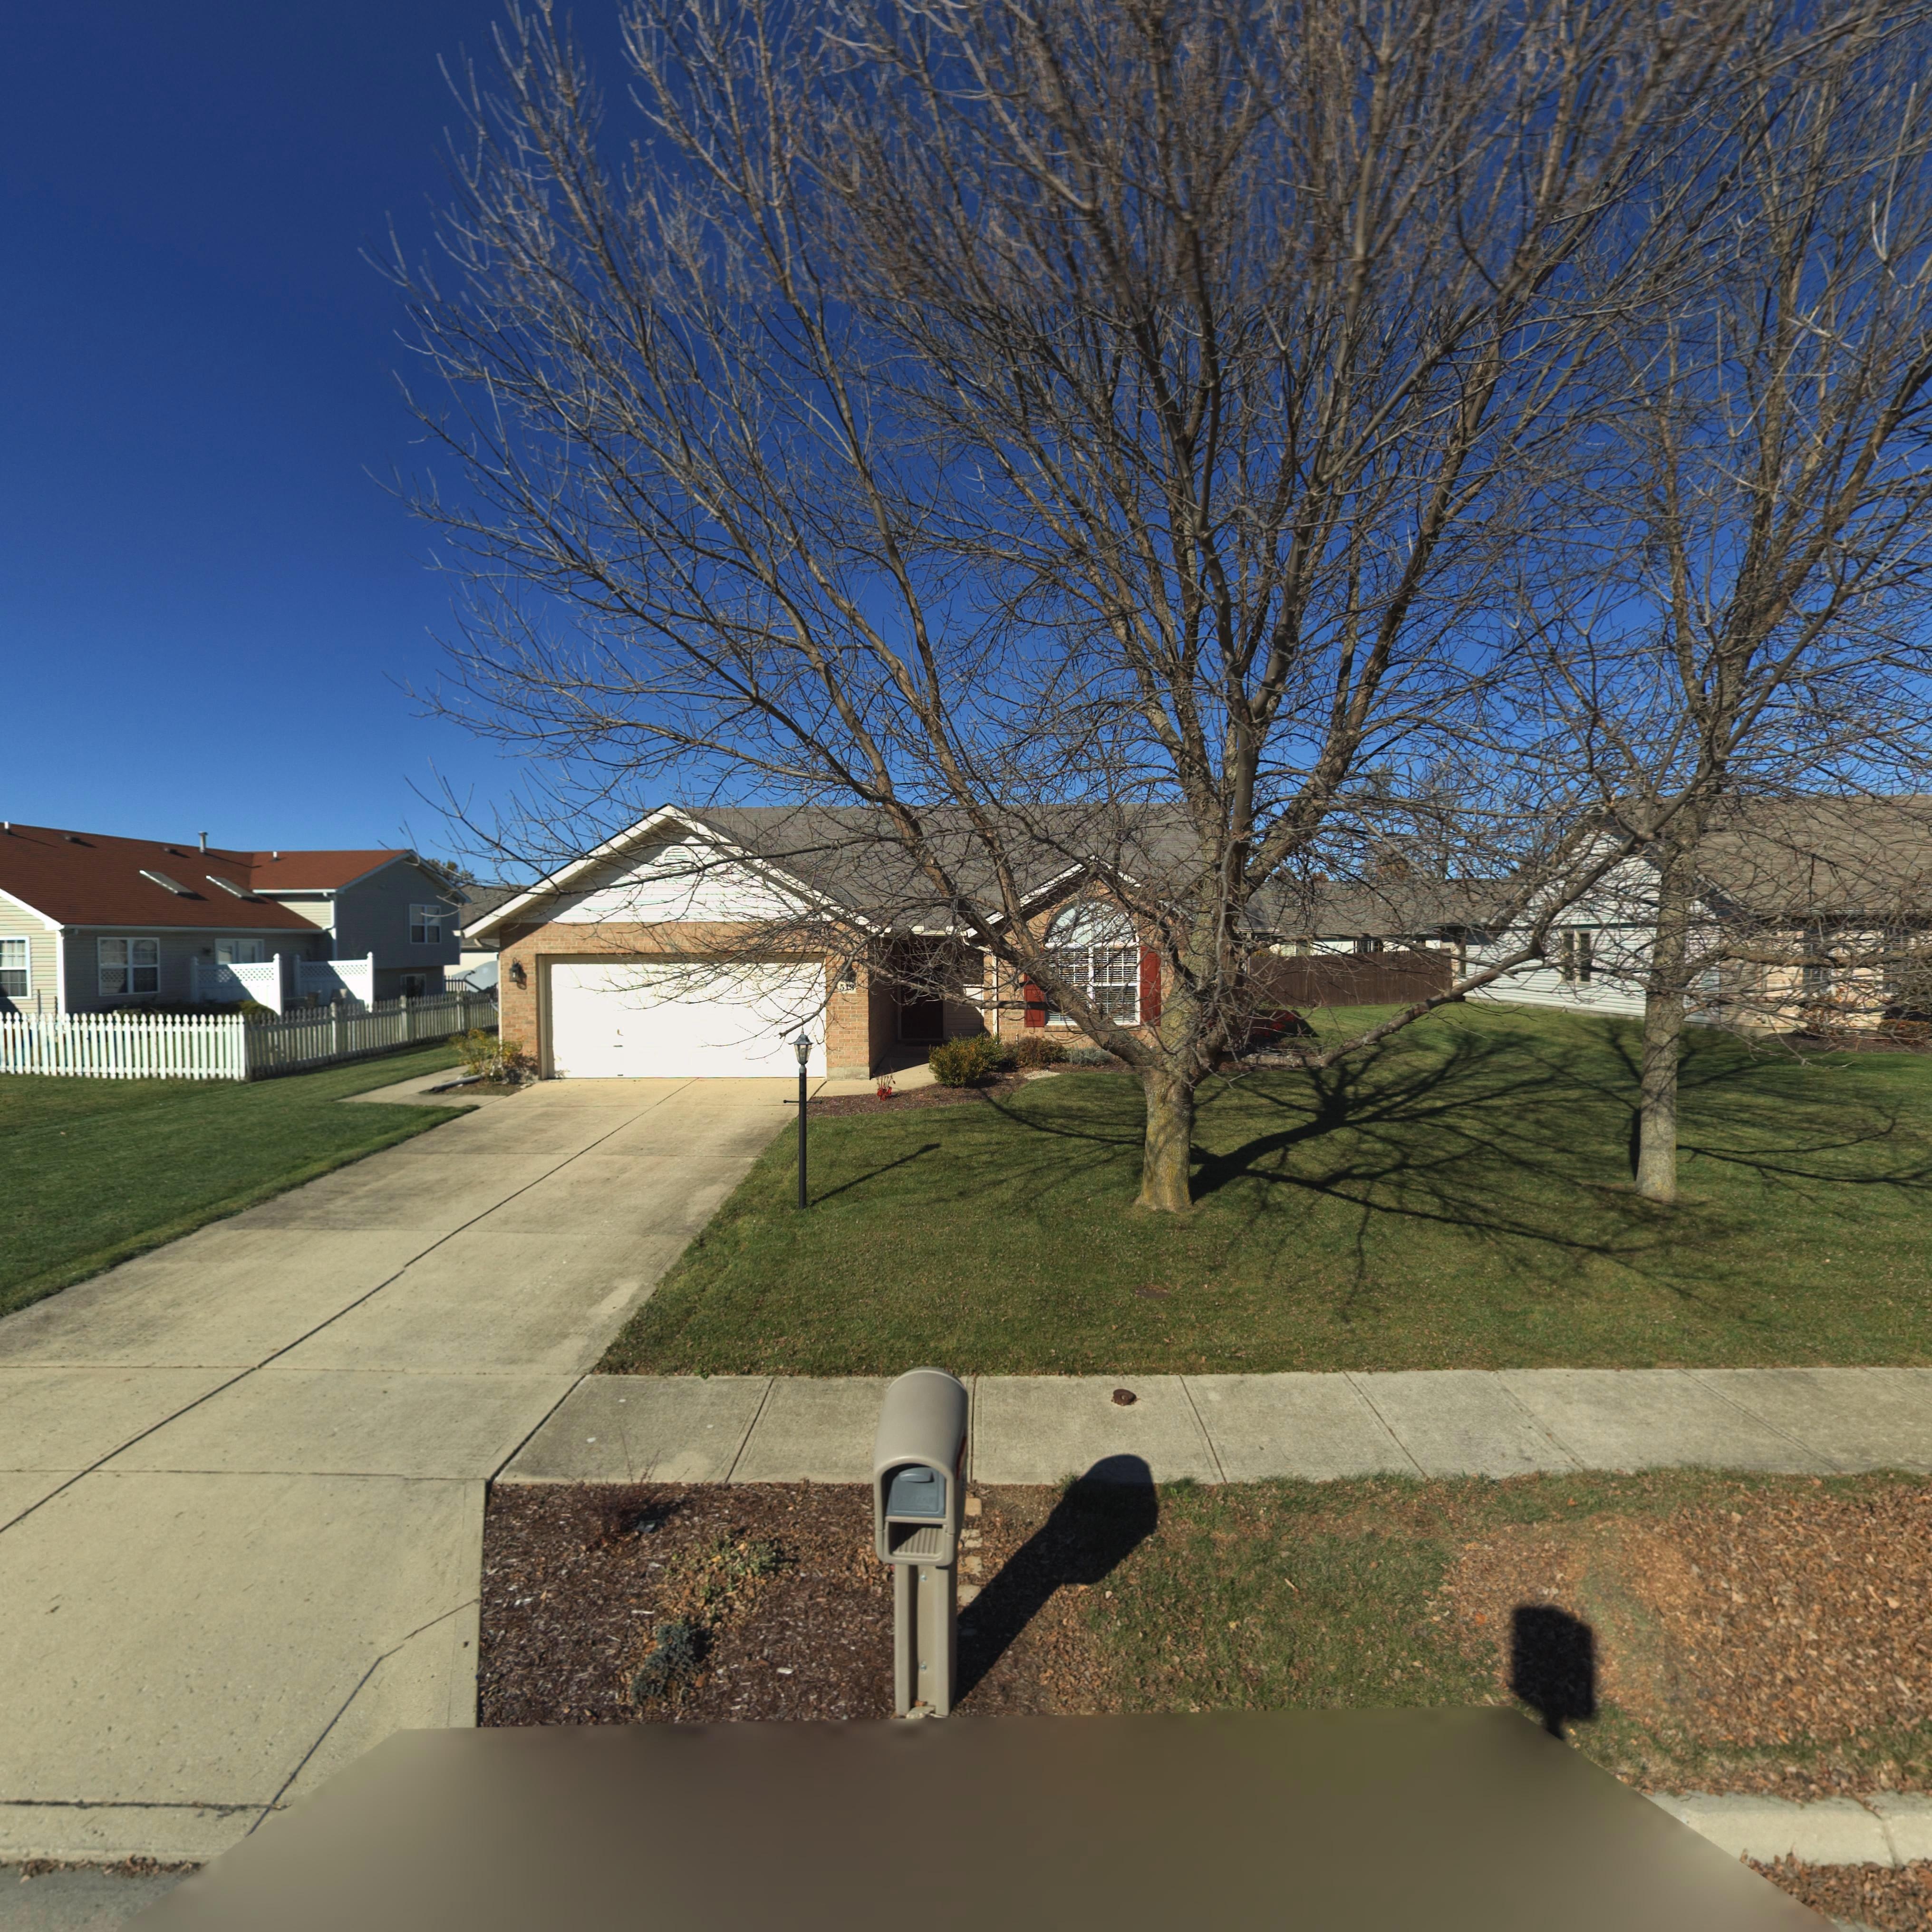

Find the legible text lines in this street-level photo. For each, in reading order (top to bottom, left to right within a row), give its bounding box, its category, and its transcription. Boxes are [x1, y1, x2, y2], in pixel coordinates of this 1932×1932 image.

[839, 983, 855, 992] StreetNumber: 5**